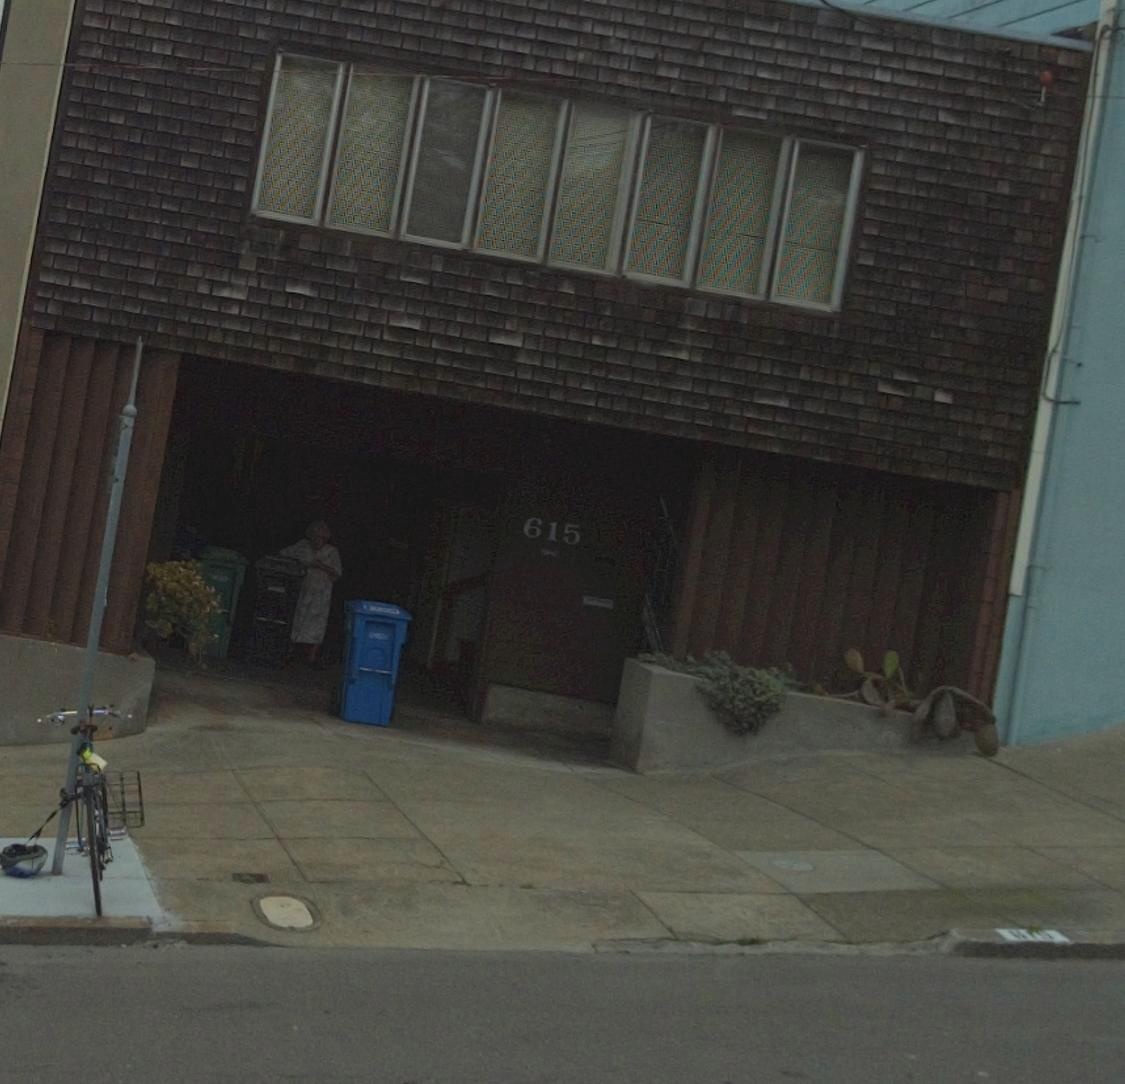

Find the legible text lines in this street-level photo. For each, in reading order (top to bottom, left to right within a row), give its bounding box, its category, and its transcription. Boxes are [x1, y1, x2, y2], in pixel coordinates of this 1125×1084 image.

[519, 514, 583, 548] StreetNumber: 615